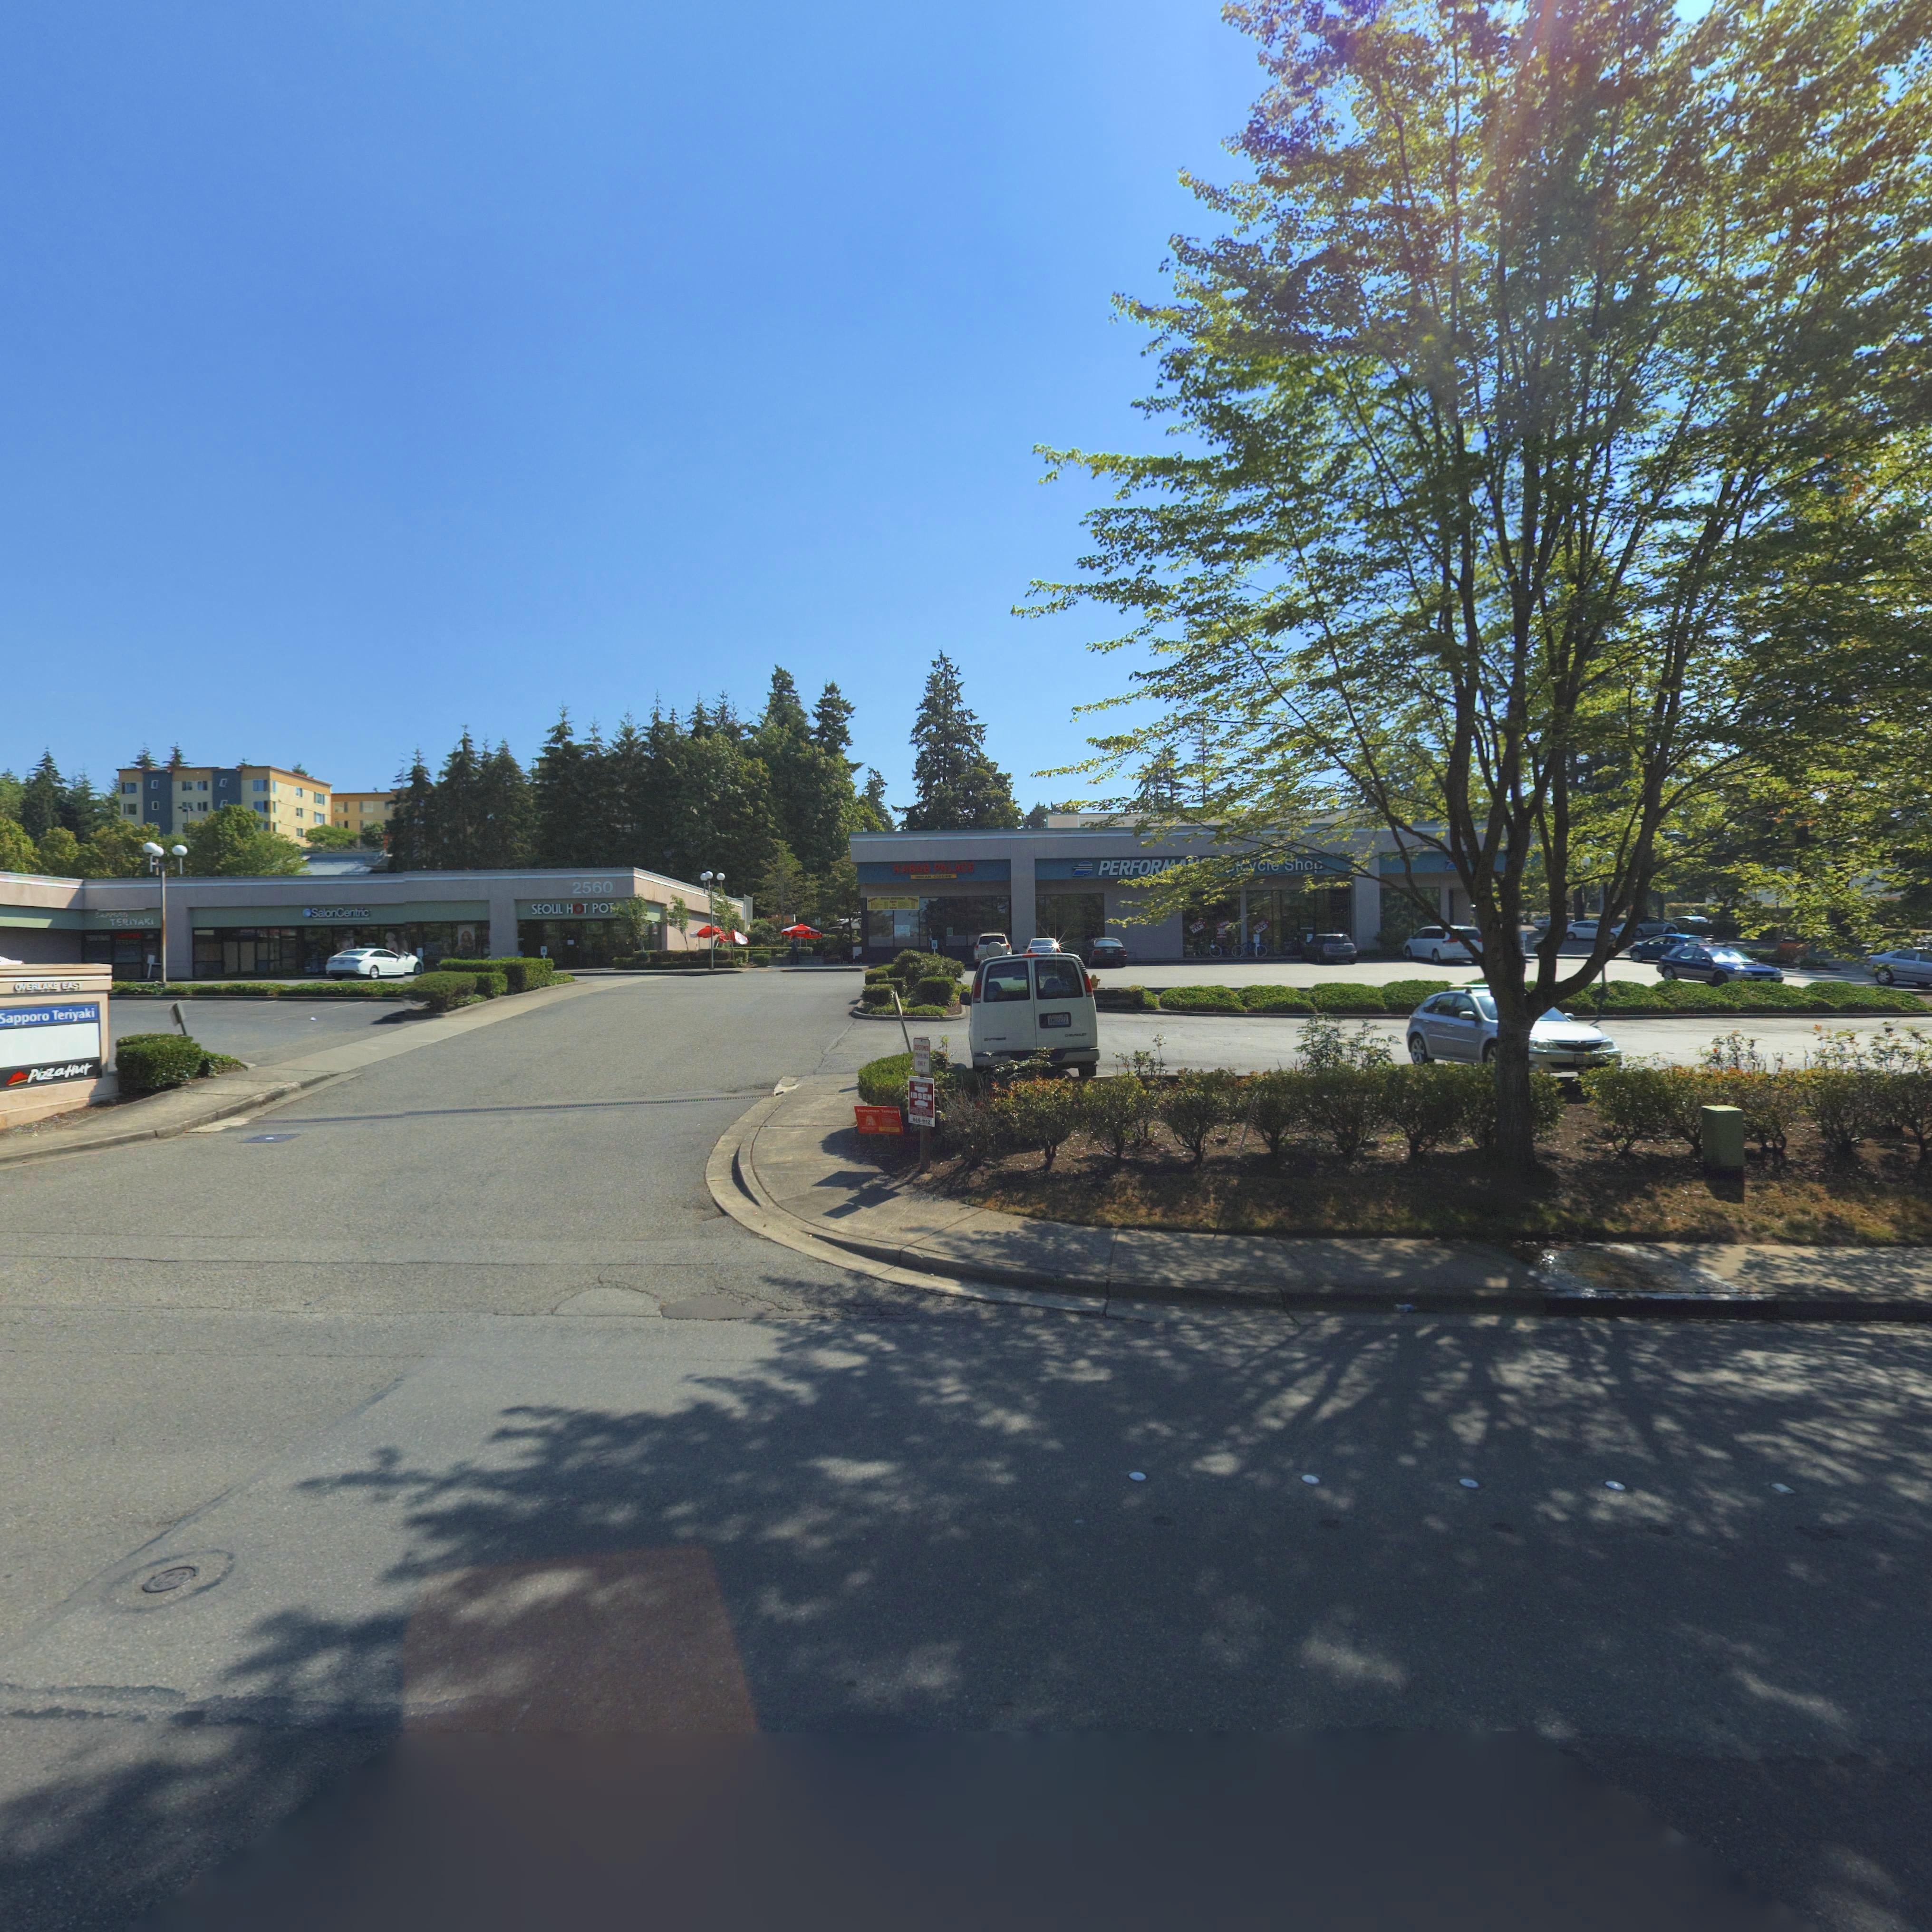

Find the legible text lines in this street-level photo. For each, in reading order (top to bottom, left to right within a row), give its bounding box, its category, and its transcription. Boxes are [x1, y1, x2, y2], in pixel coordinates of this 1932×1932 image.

[893, 863, 974, 873] None: KABAB PALACE
[1097, 860, 1152, 876] BusinessName: PERFO
[571, 879, 614, 894] StreetNumber: 2560
[310, 907, 370, 918] BusinessName: SalonCentric
[531, 903, 615, 915] BusinessName: SEOUL HOT PO*
[108, 917, 155, 926] BusinessName: TERIYAKI
[0, 1007, 96, 1026] BusinessName: *apporo Teriyaki
[26, 1061, 94, 1084] BusinessName: PizzaHut